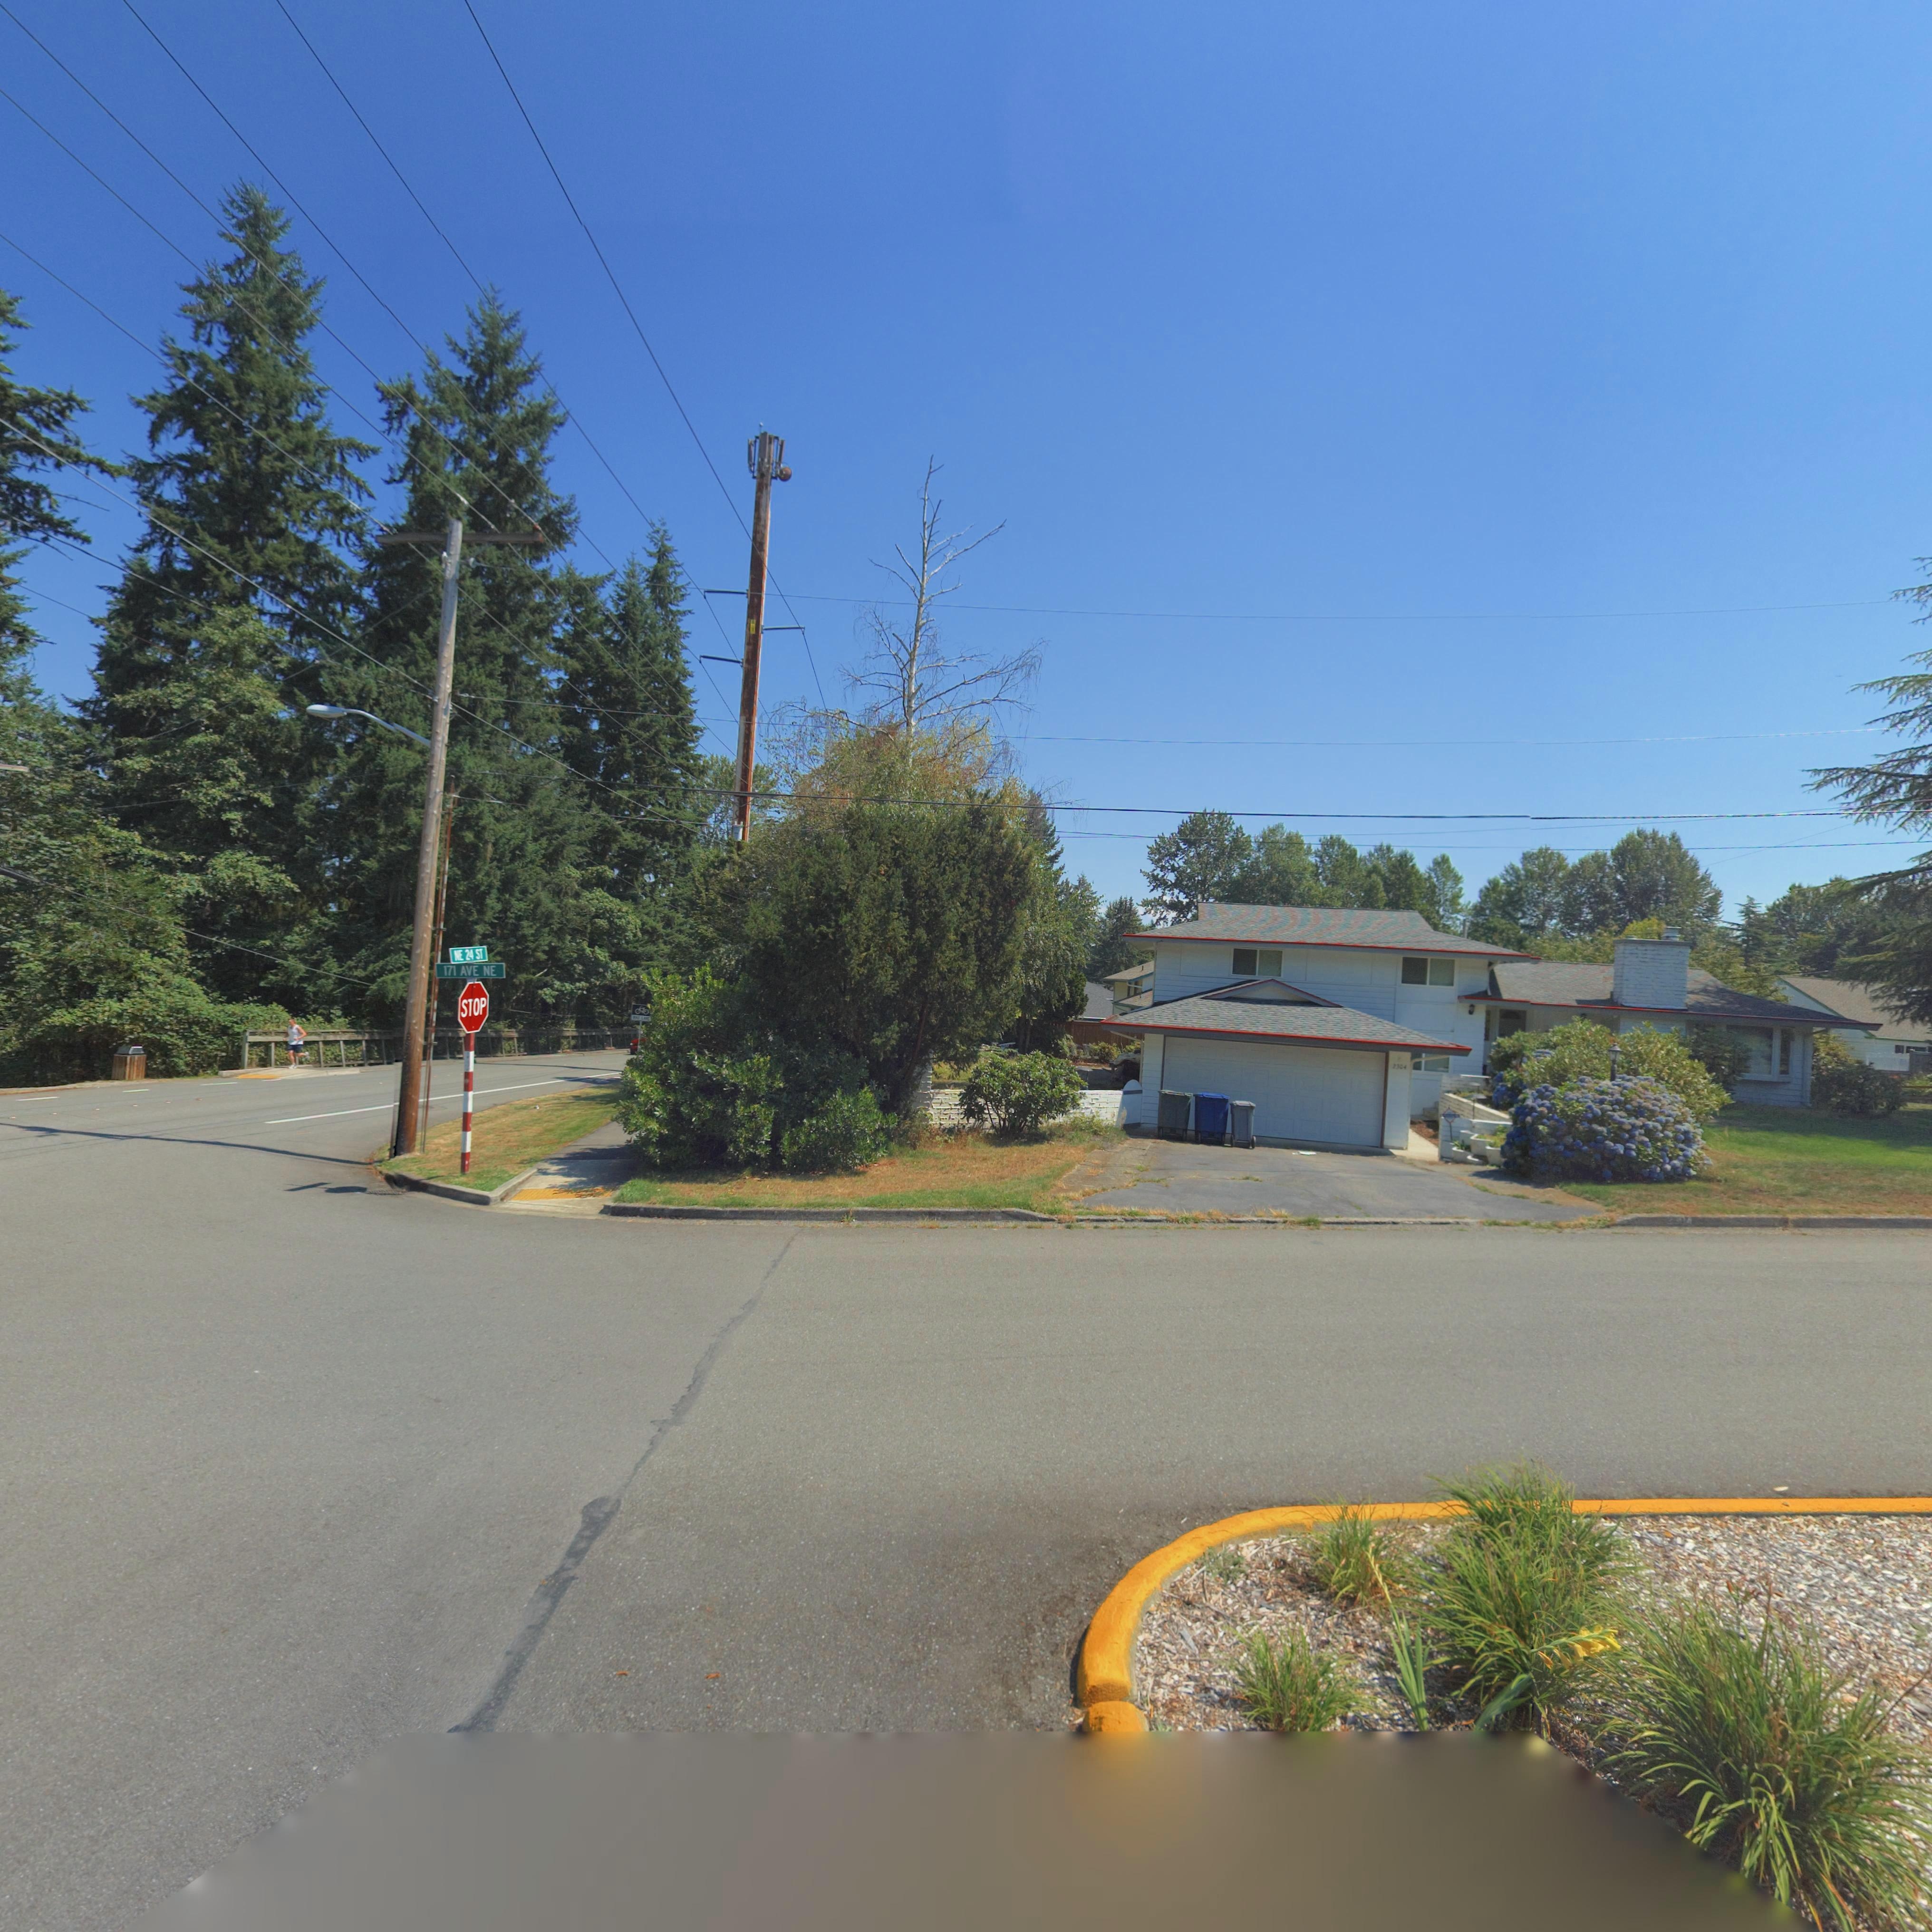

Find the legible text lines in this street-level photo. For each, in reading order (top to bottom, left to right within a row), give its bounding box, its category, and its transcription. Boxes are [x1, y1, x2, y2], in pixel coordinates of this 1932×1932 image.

[453, 947, 483, 961] StreetName: NE 24 ST
[443, 965, 496, 977] StreetName: 171 AVE NE
[1392, 1063, 1407, 1070] StreetNumber: 2304